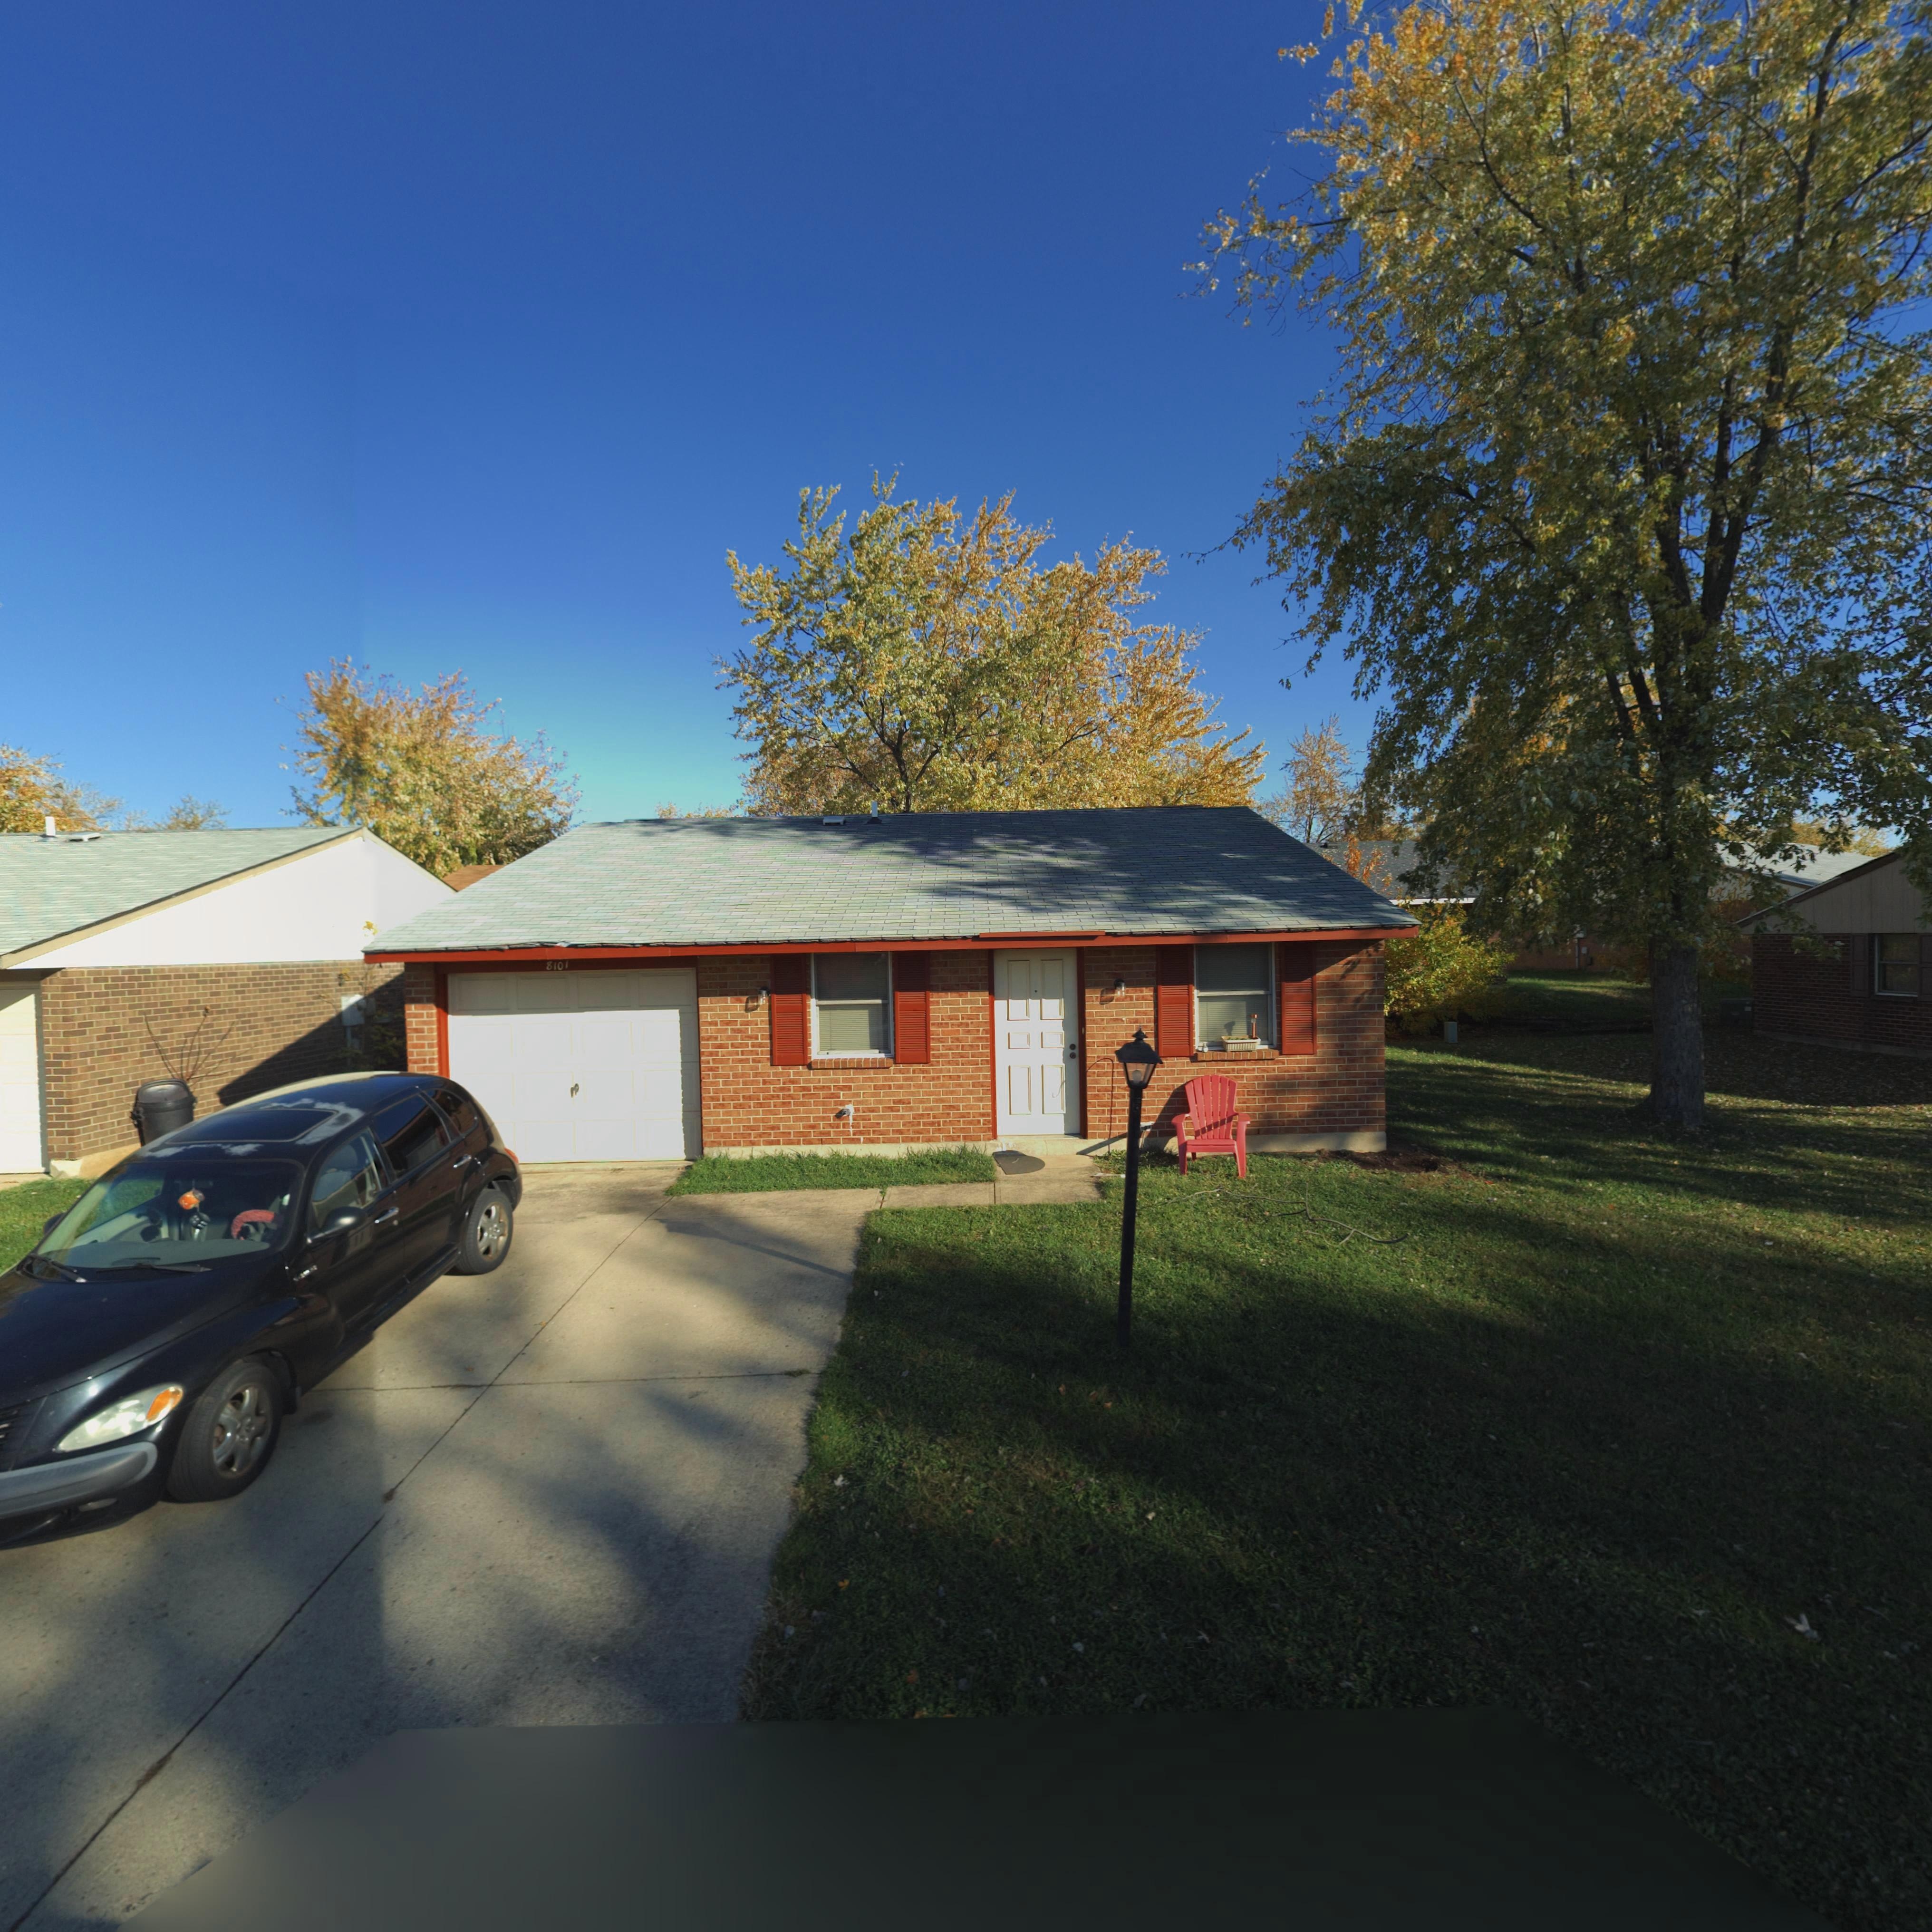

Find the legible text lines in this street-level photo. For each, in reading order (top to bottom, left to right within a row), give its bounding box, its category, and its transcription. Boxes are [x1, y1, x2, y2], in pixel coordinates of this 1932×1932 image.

[545, 959, 570, 972] StreetNumber: 8101